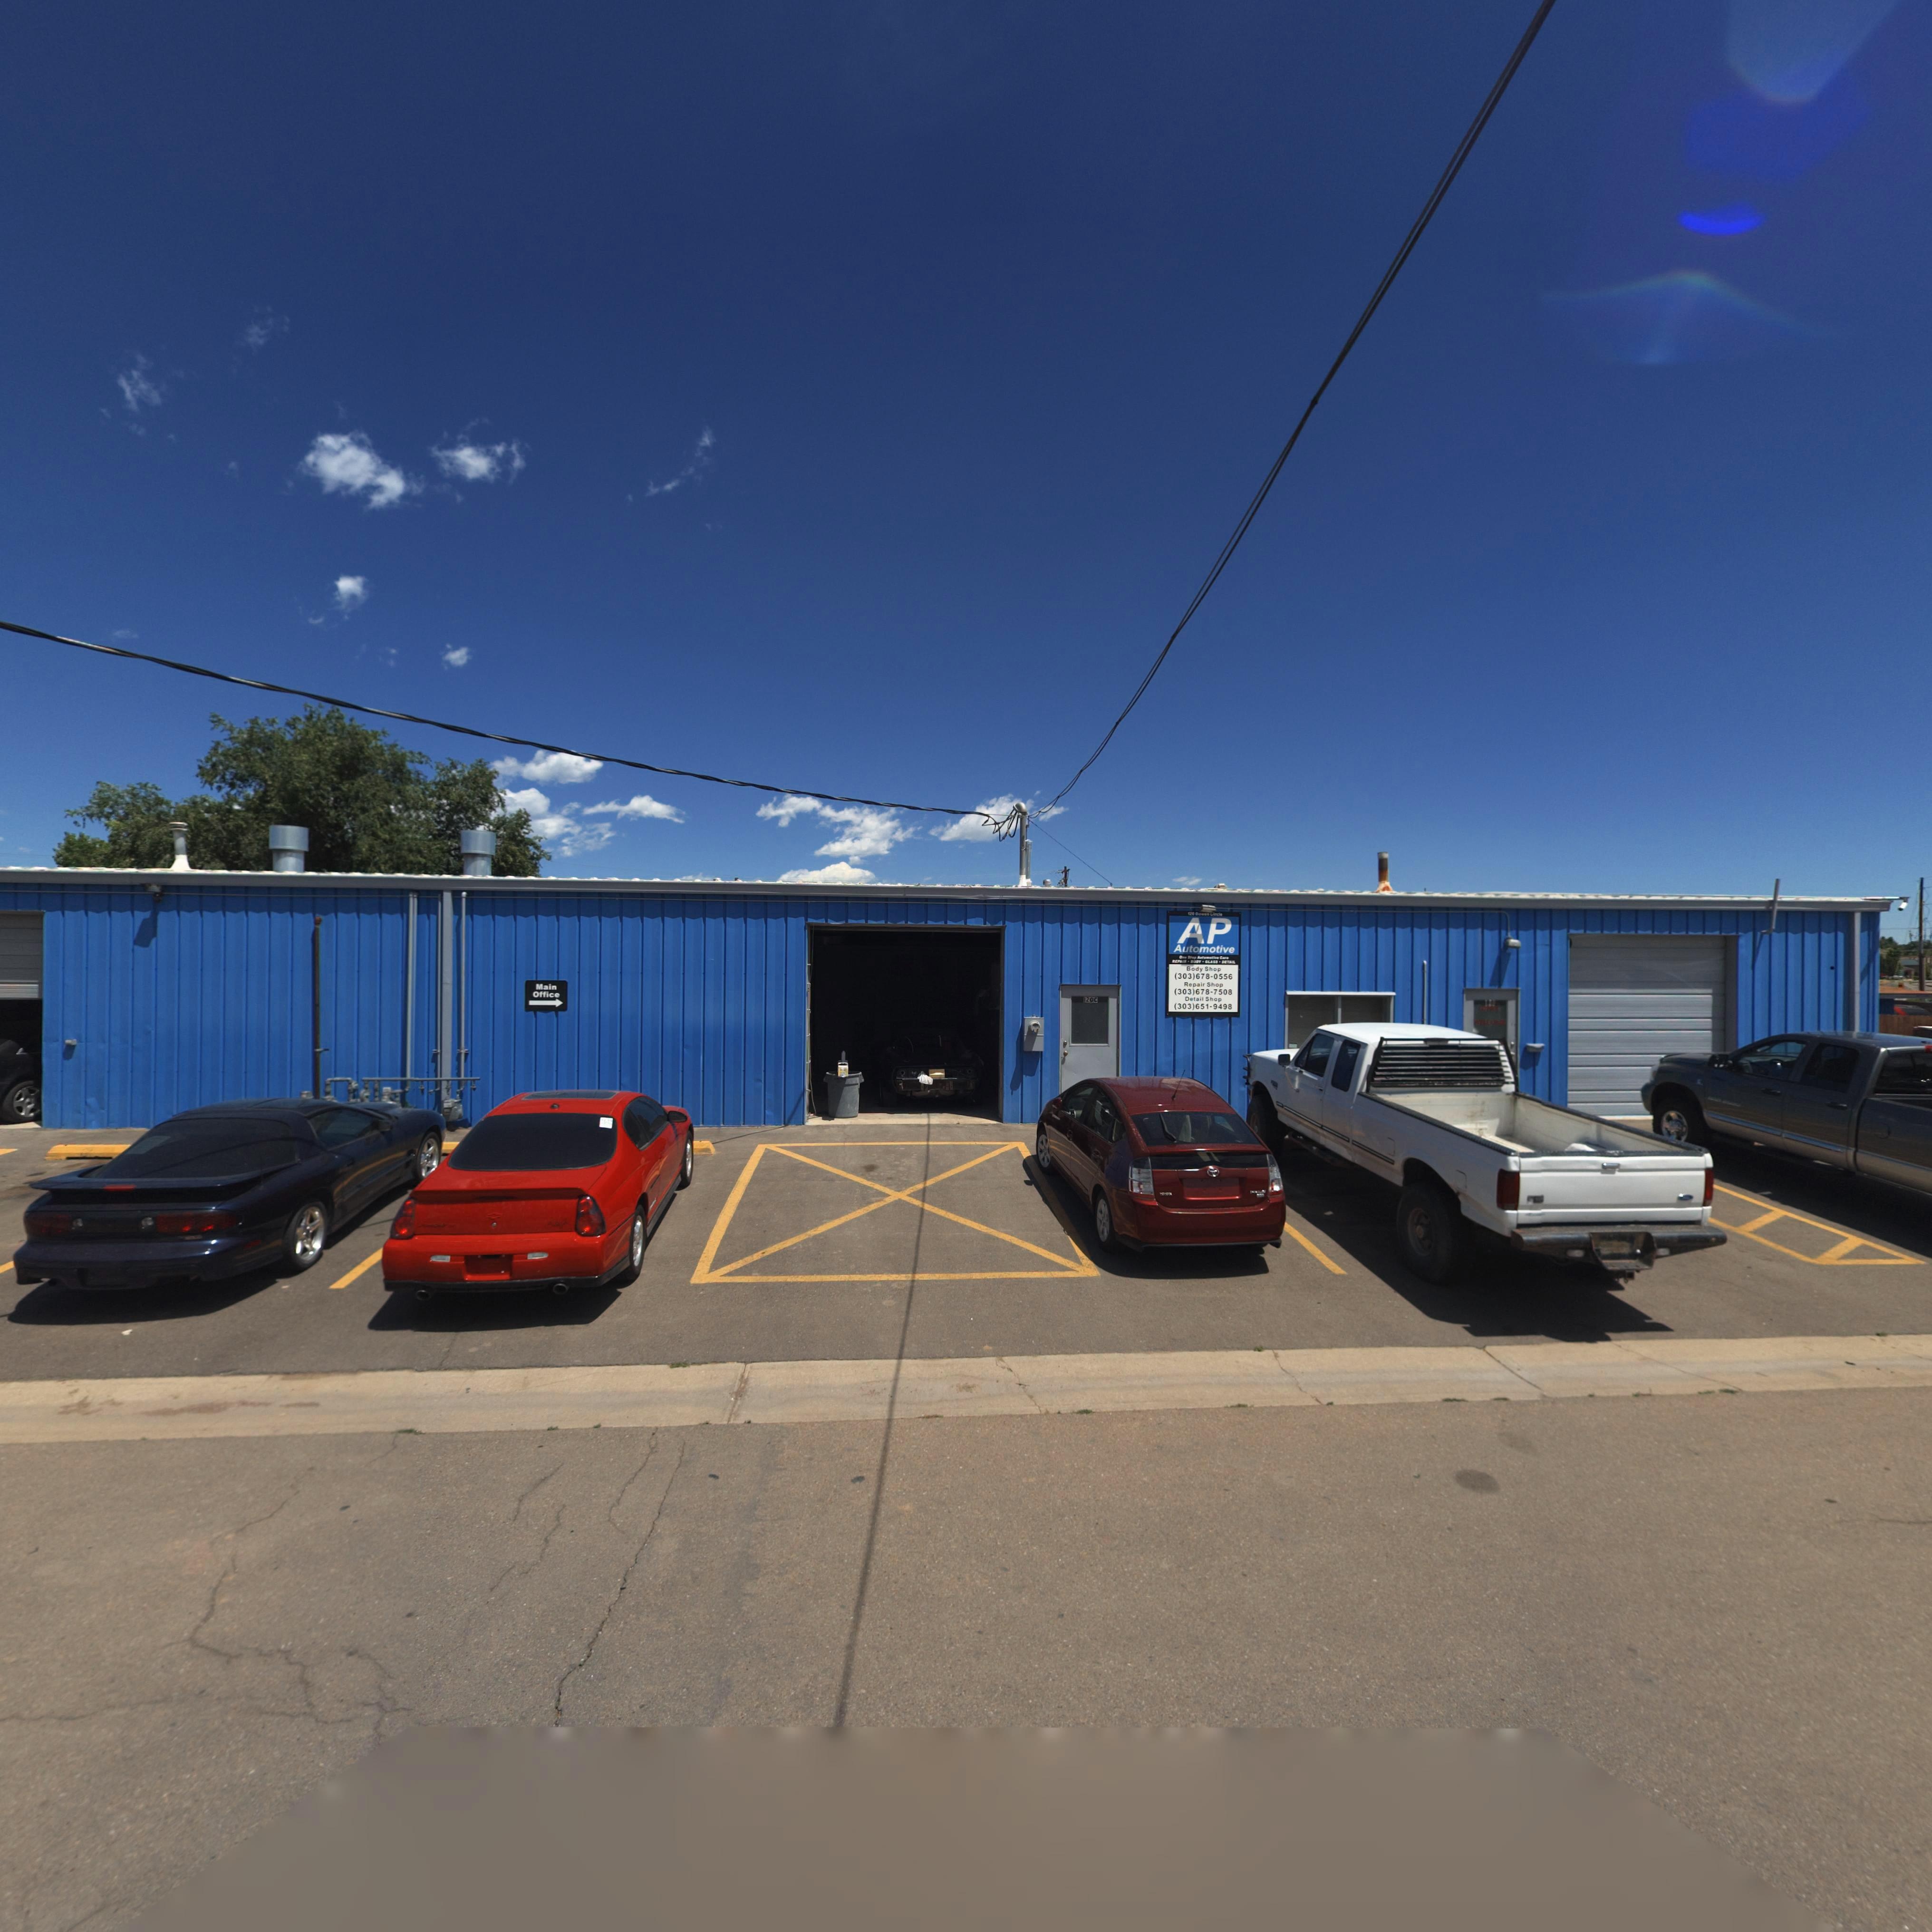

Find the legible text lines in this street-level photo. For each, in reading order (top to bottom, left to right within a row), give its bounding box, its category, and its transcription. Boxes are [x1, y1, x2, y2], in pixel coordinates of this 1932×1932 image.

[1187, 911, 1195, 916] StreetNumber: 120
[1195, 911, 1223, 917] StreetName: Bo*en Circle
[1176, 917, 1233, 944] BusinessName: AP
[1170, 944, 1236, 954] BusinessName: Automotive
[1083, 997, 1097, 1003] StreetNumber: 1200